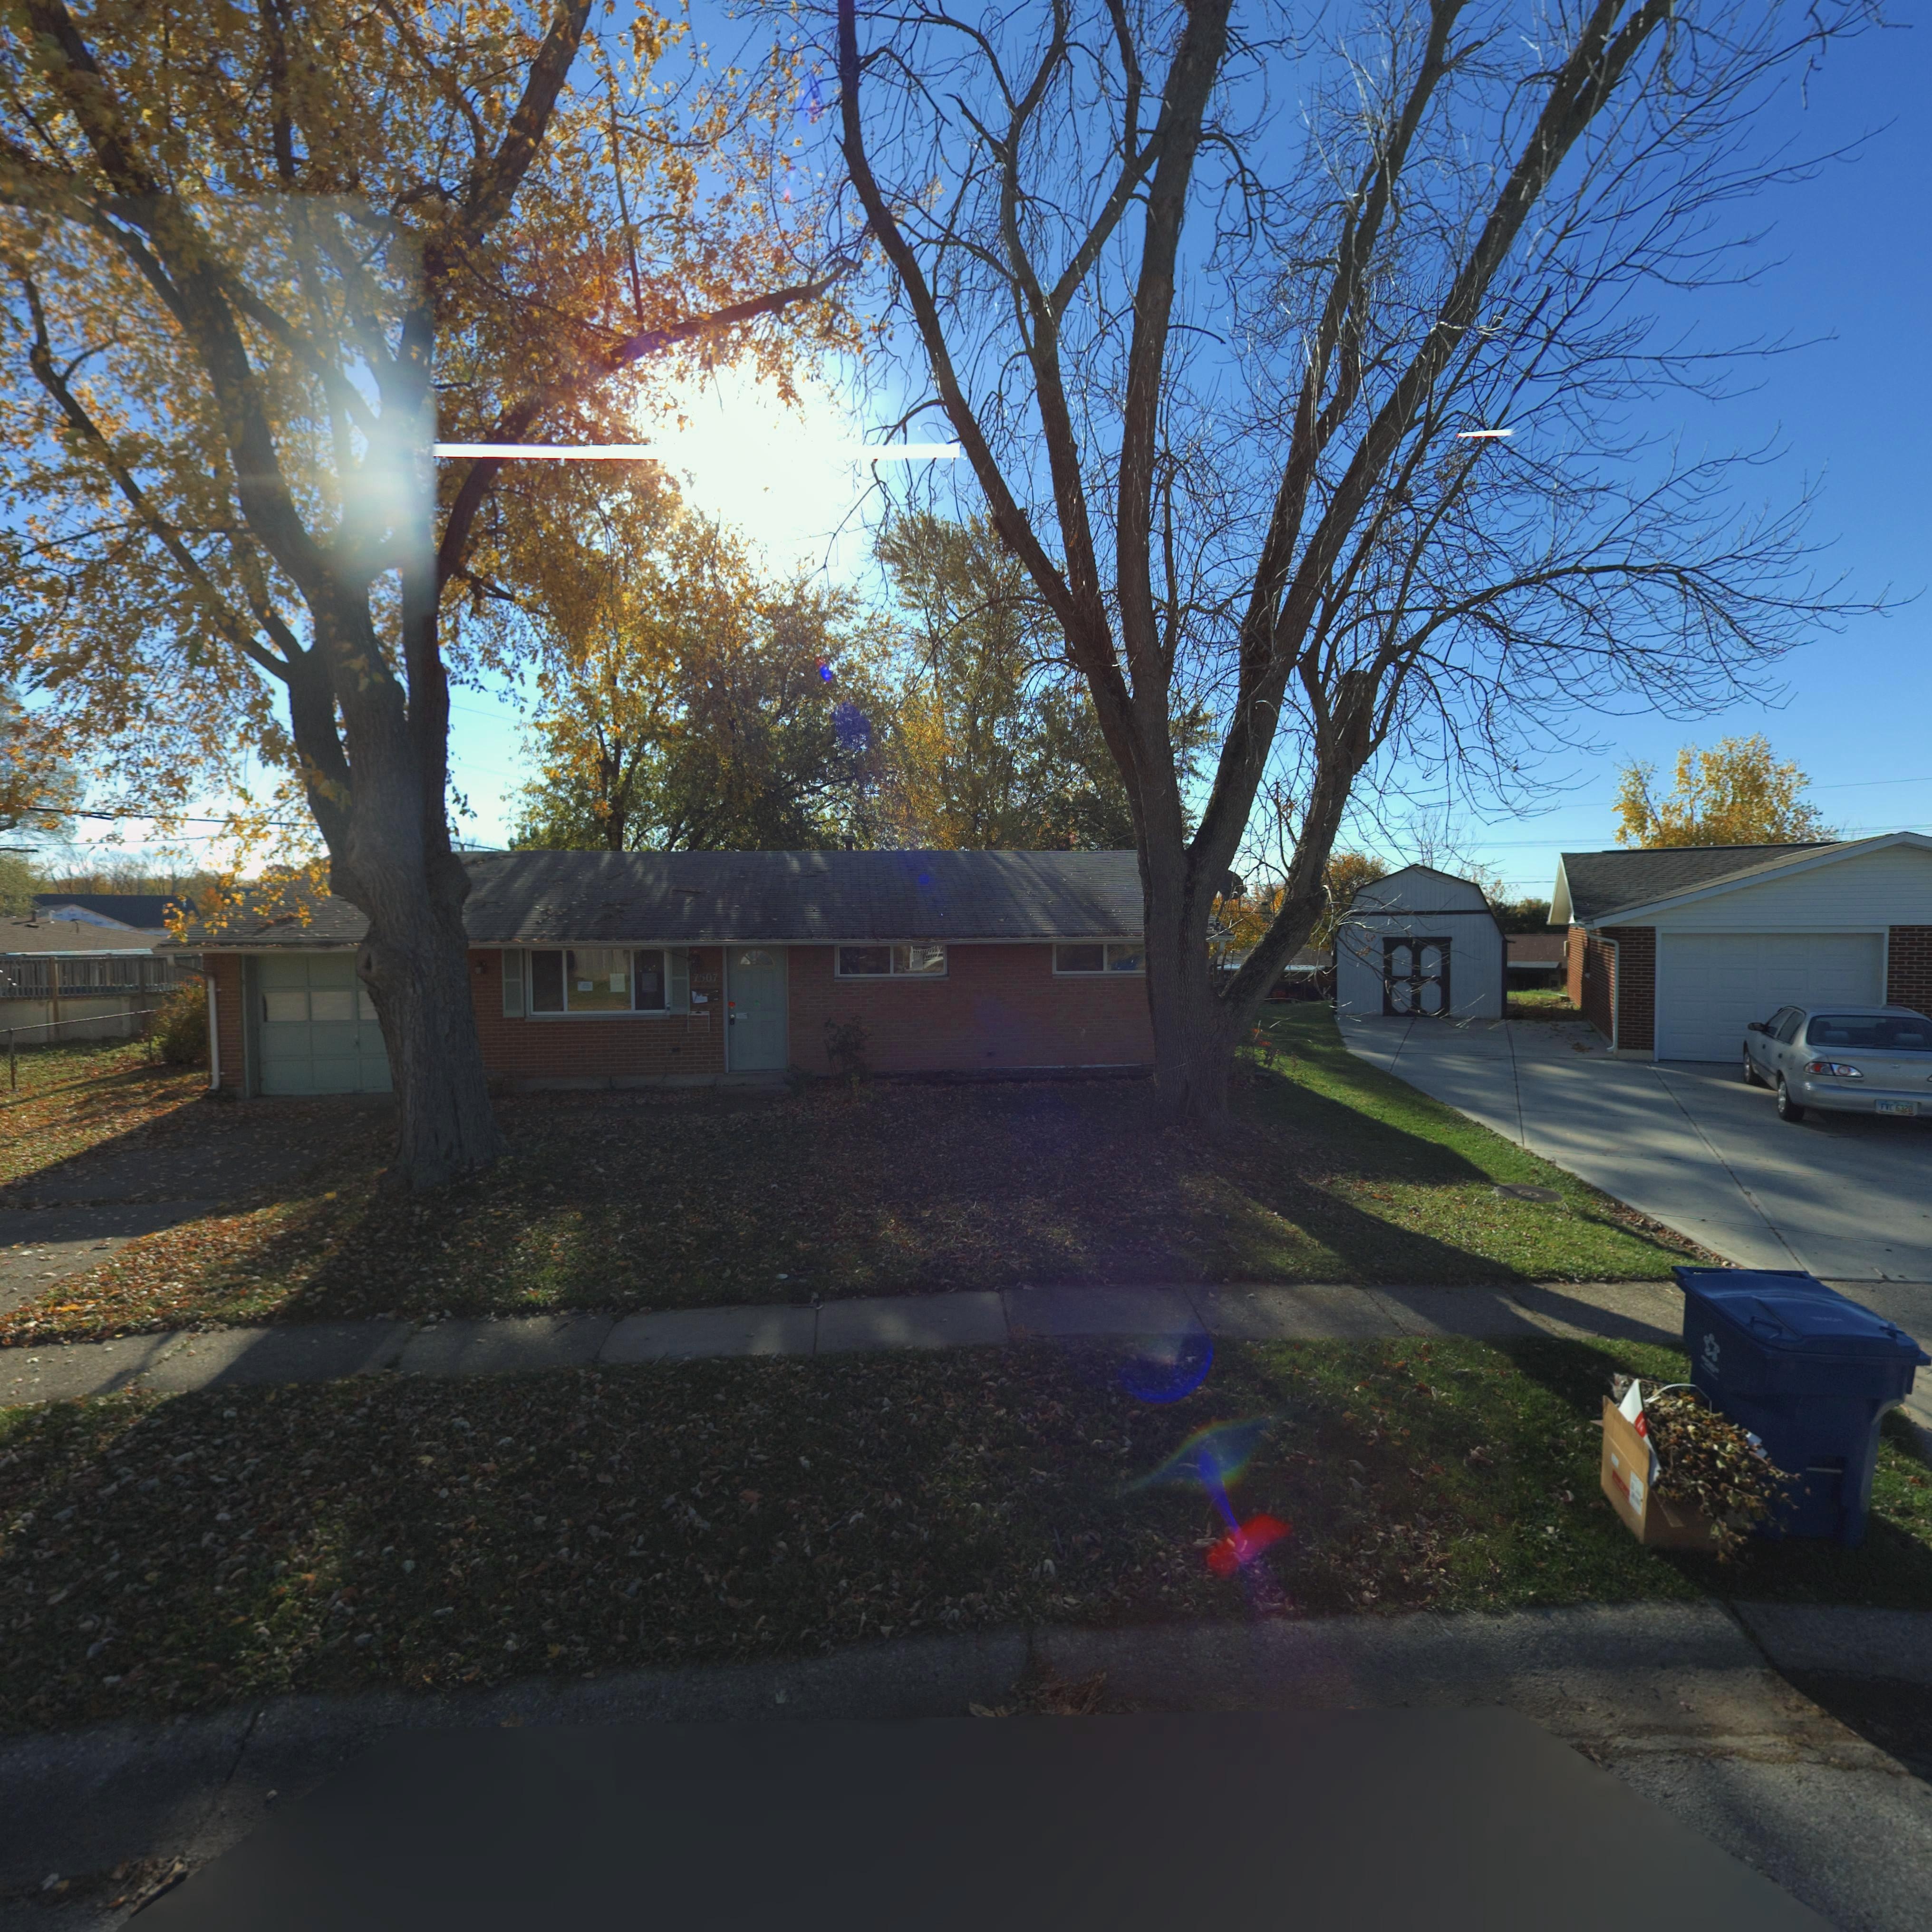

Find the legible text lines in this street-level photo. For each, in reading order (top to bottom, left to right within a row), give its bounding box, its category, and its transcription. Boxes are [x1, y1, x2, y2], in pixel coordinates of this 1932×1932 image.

[692, 972, 720, 983] StreetNumber: 7507